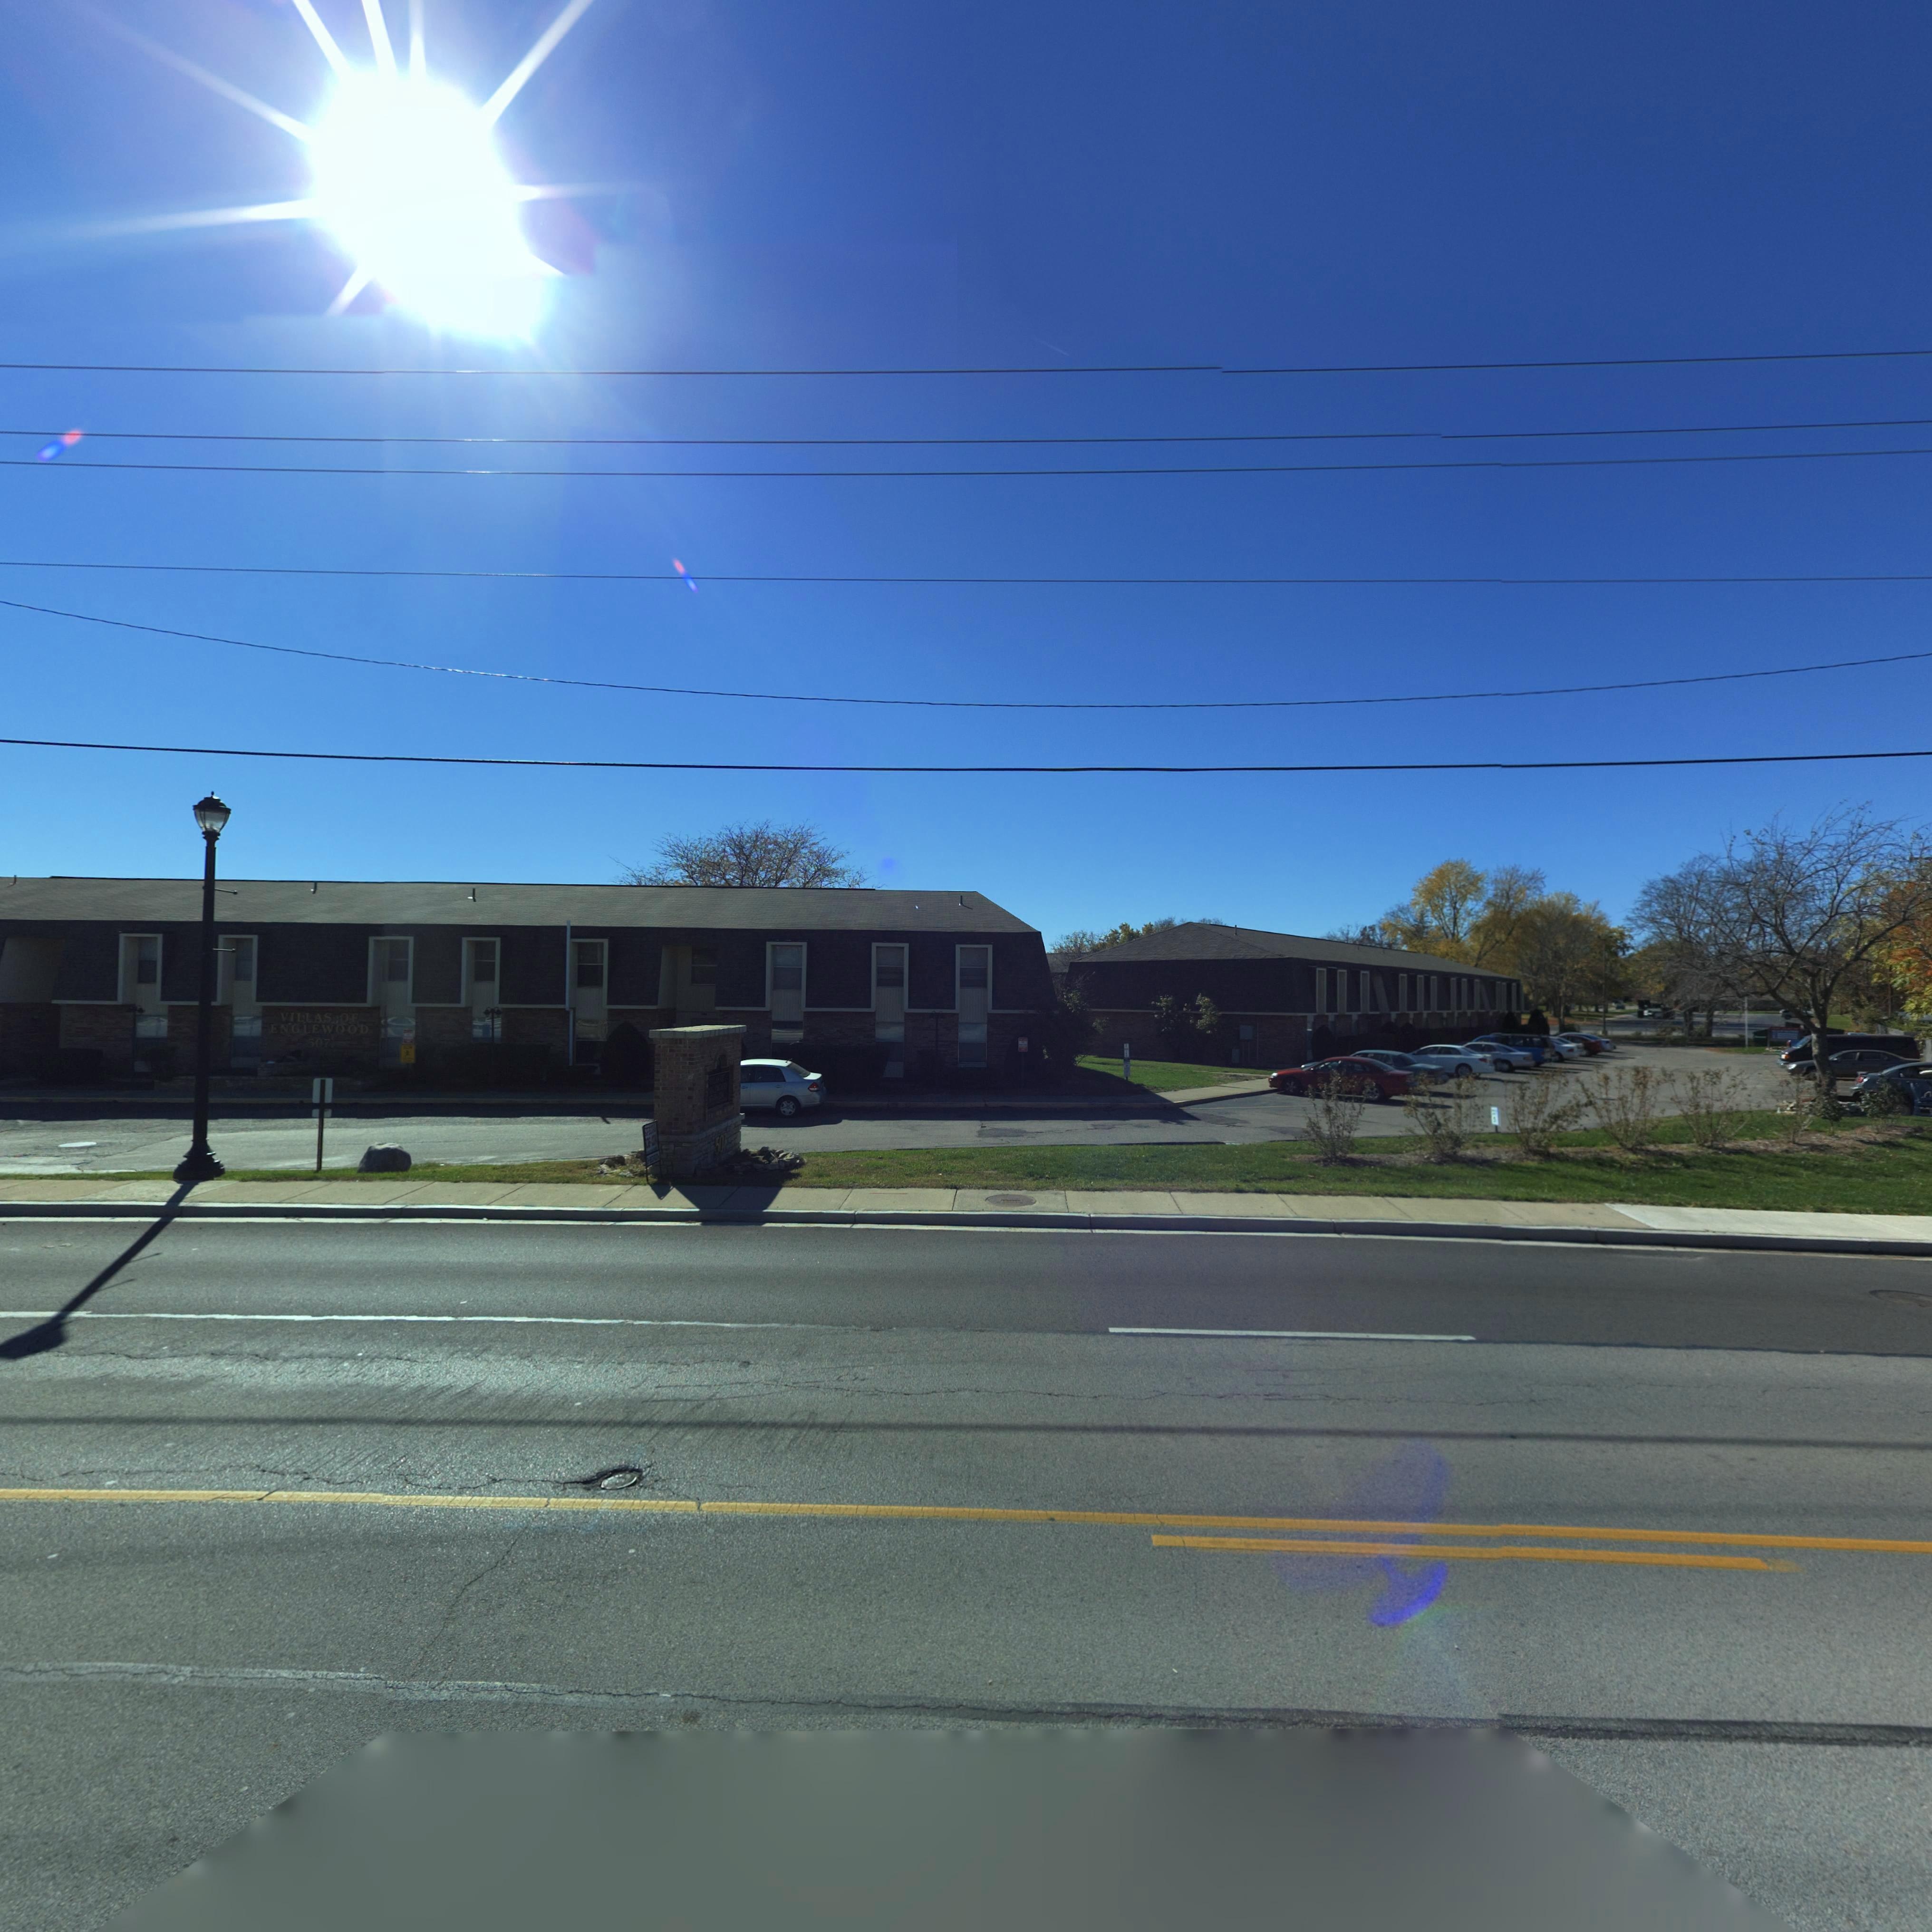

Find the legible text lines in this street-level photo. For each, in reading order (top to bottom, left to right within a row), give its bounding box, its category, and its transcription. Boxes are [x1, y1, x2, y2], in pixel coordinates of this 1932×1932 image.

[279, 1012, 360, 1024] BusinessName: VILLAS OF
[269, 1023, 370, 1035] BusinessName: ENGLEWOOD
[307, 1037, 332, 1050] StreetNumber: 507
[714, 1131, 728, 1157] StreetNumber: 50*